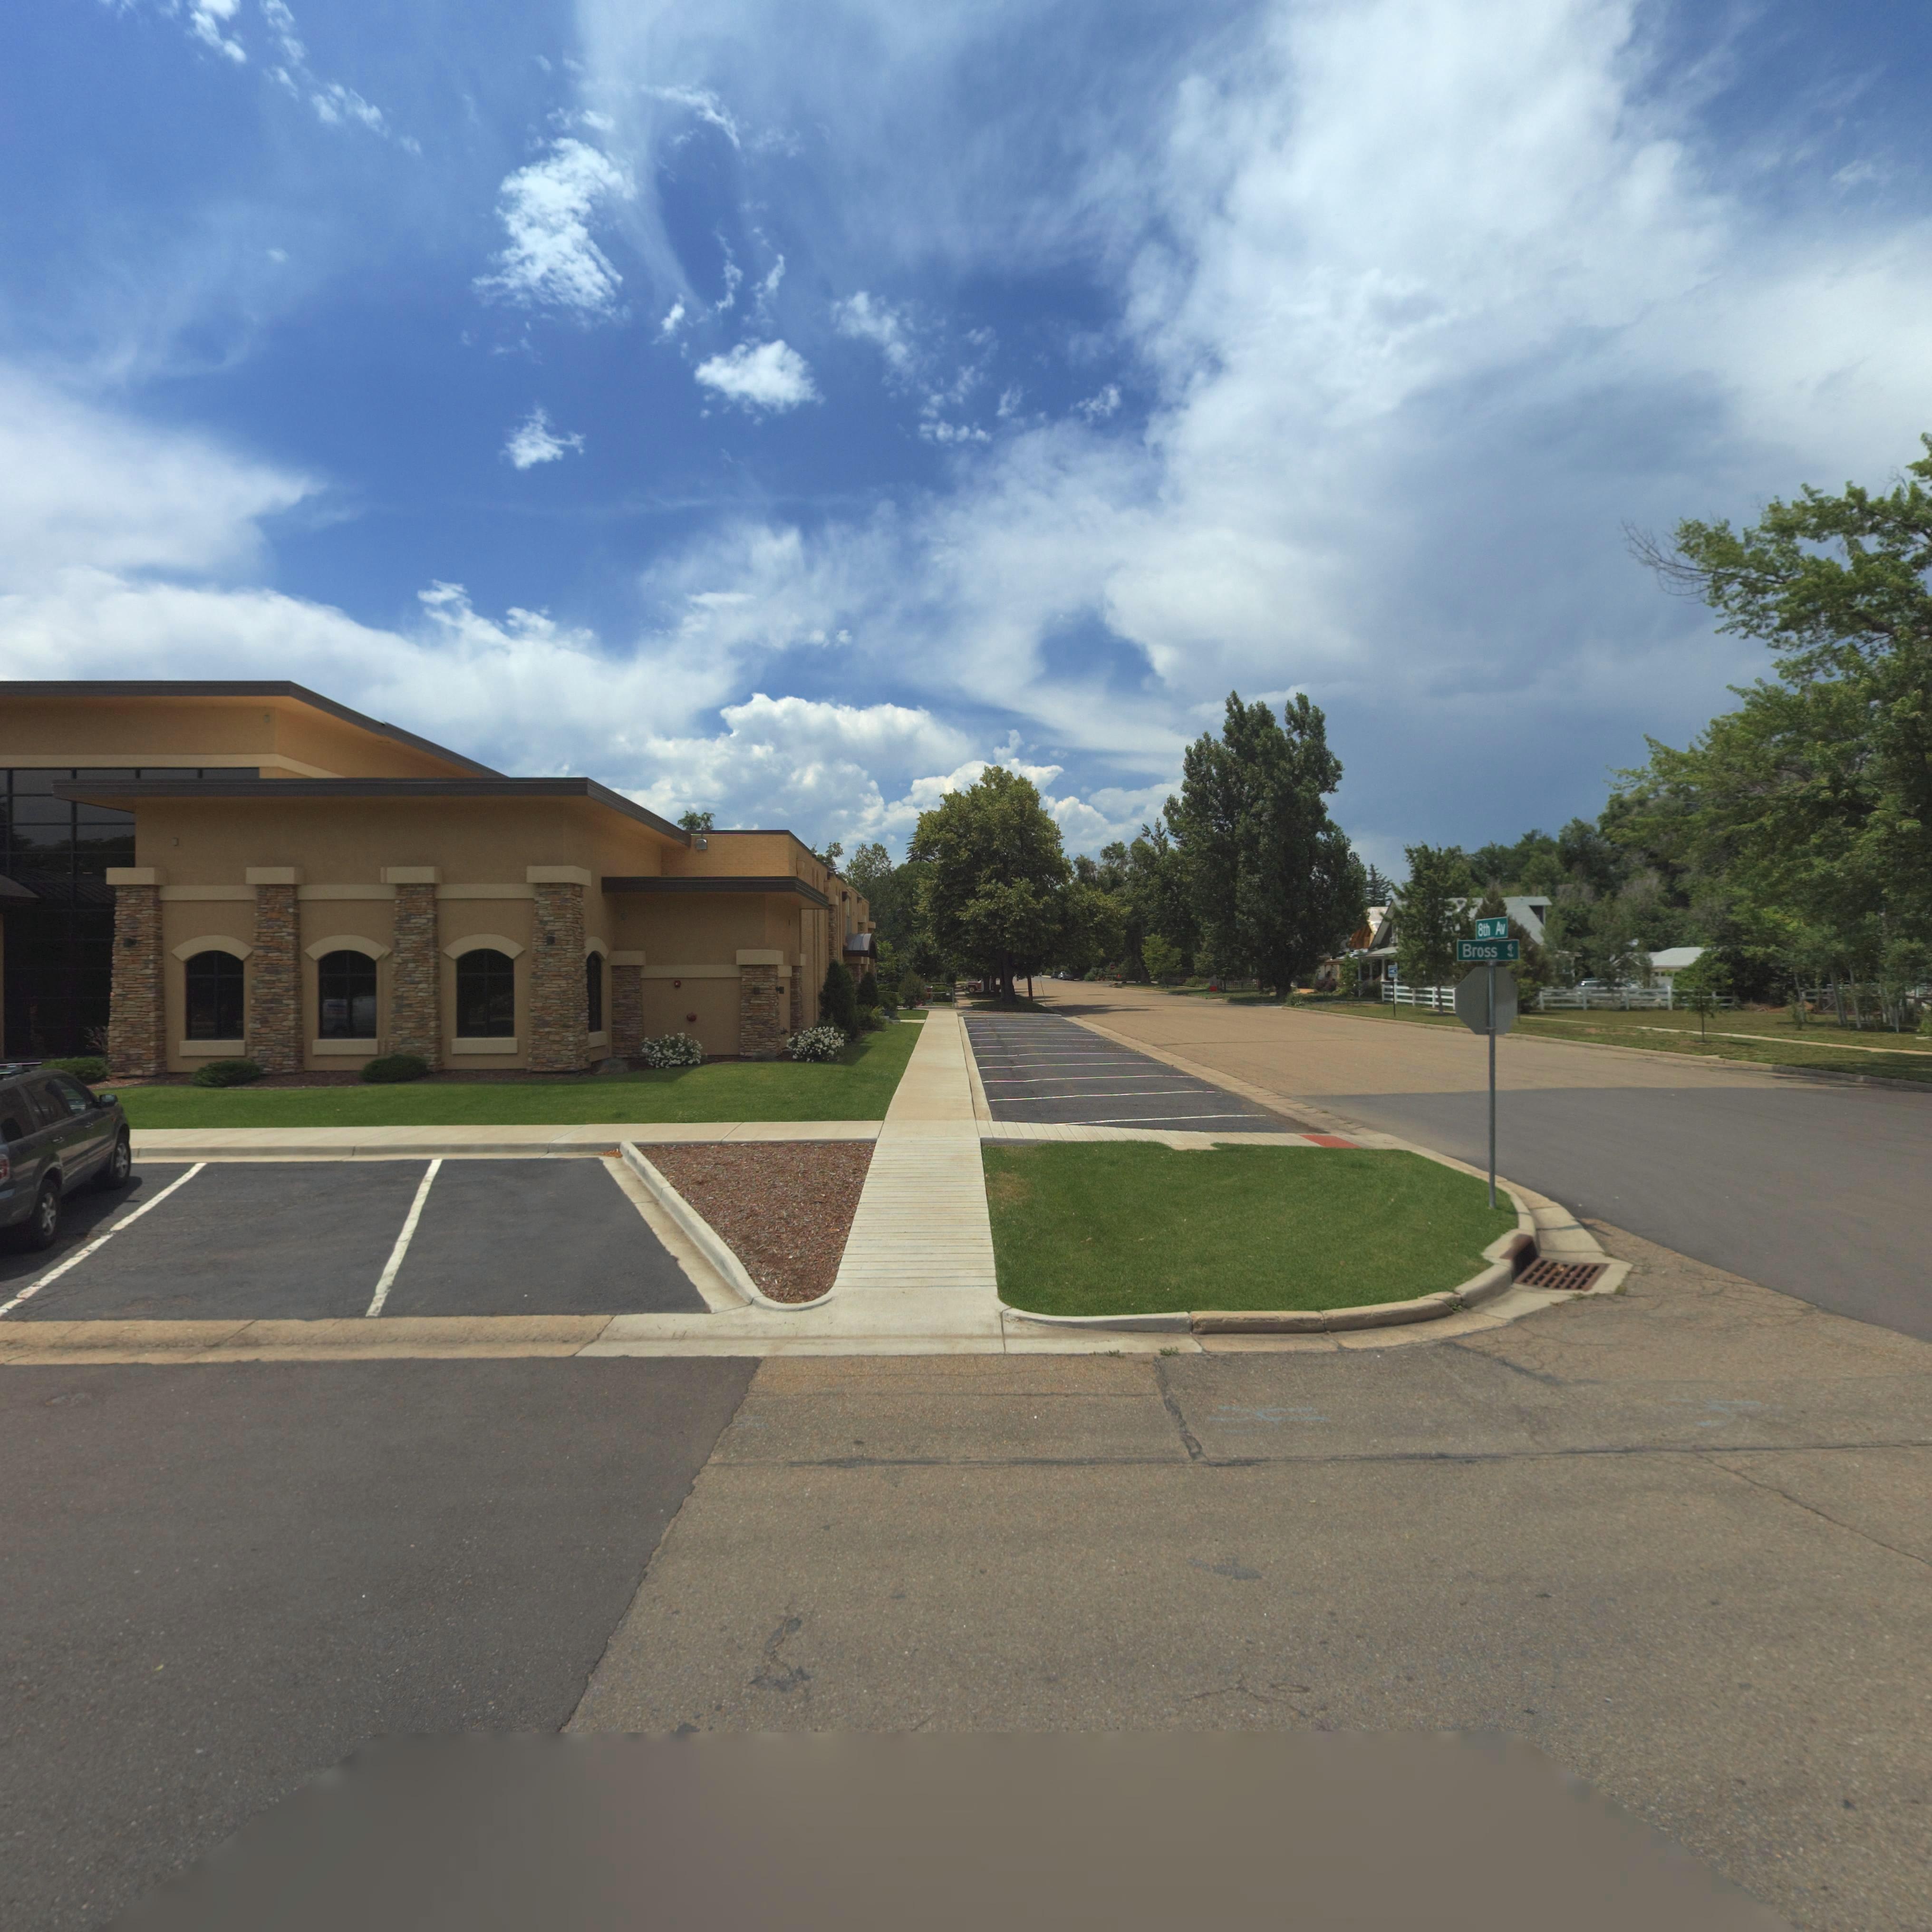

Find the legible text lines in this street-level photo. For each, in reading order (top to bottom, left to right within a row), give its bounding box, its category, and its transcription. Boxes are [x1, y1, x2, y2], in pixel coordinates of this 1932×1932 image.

[1477, 921, 1507, 937] StreetName: 8th Av
[1463, 944, 1497, 957] StreetName: Bross